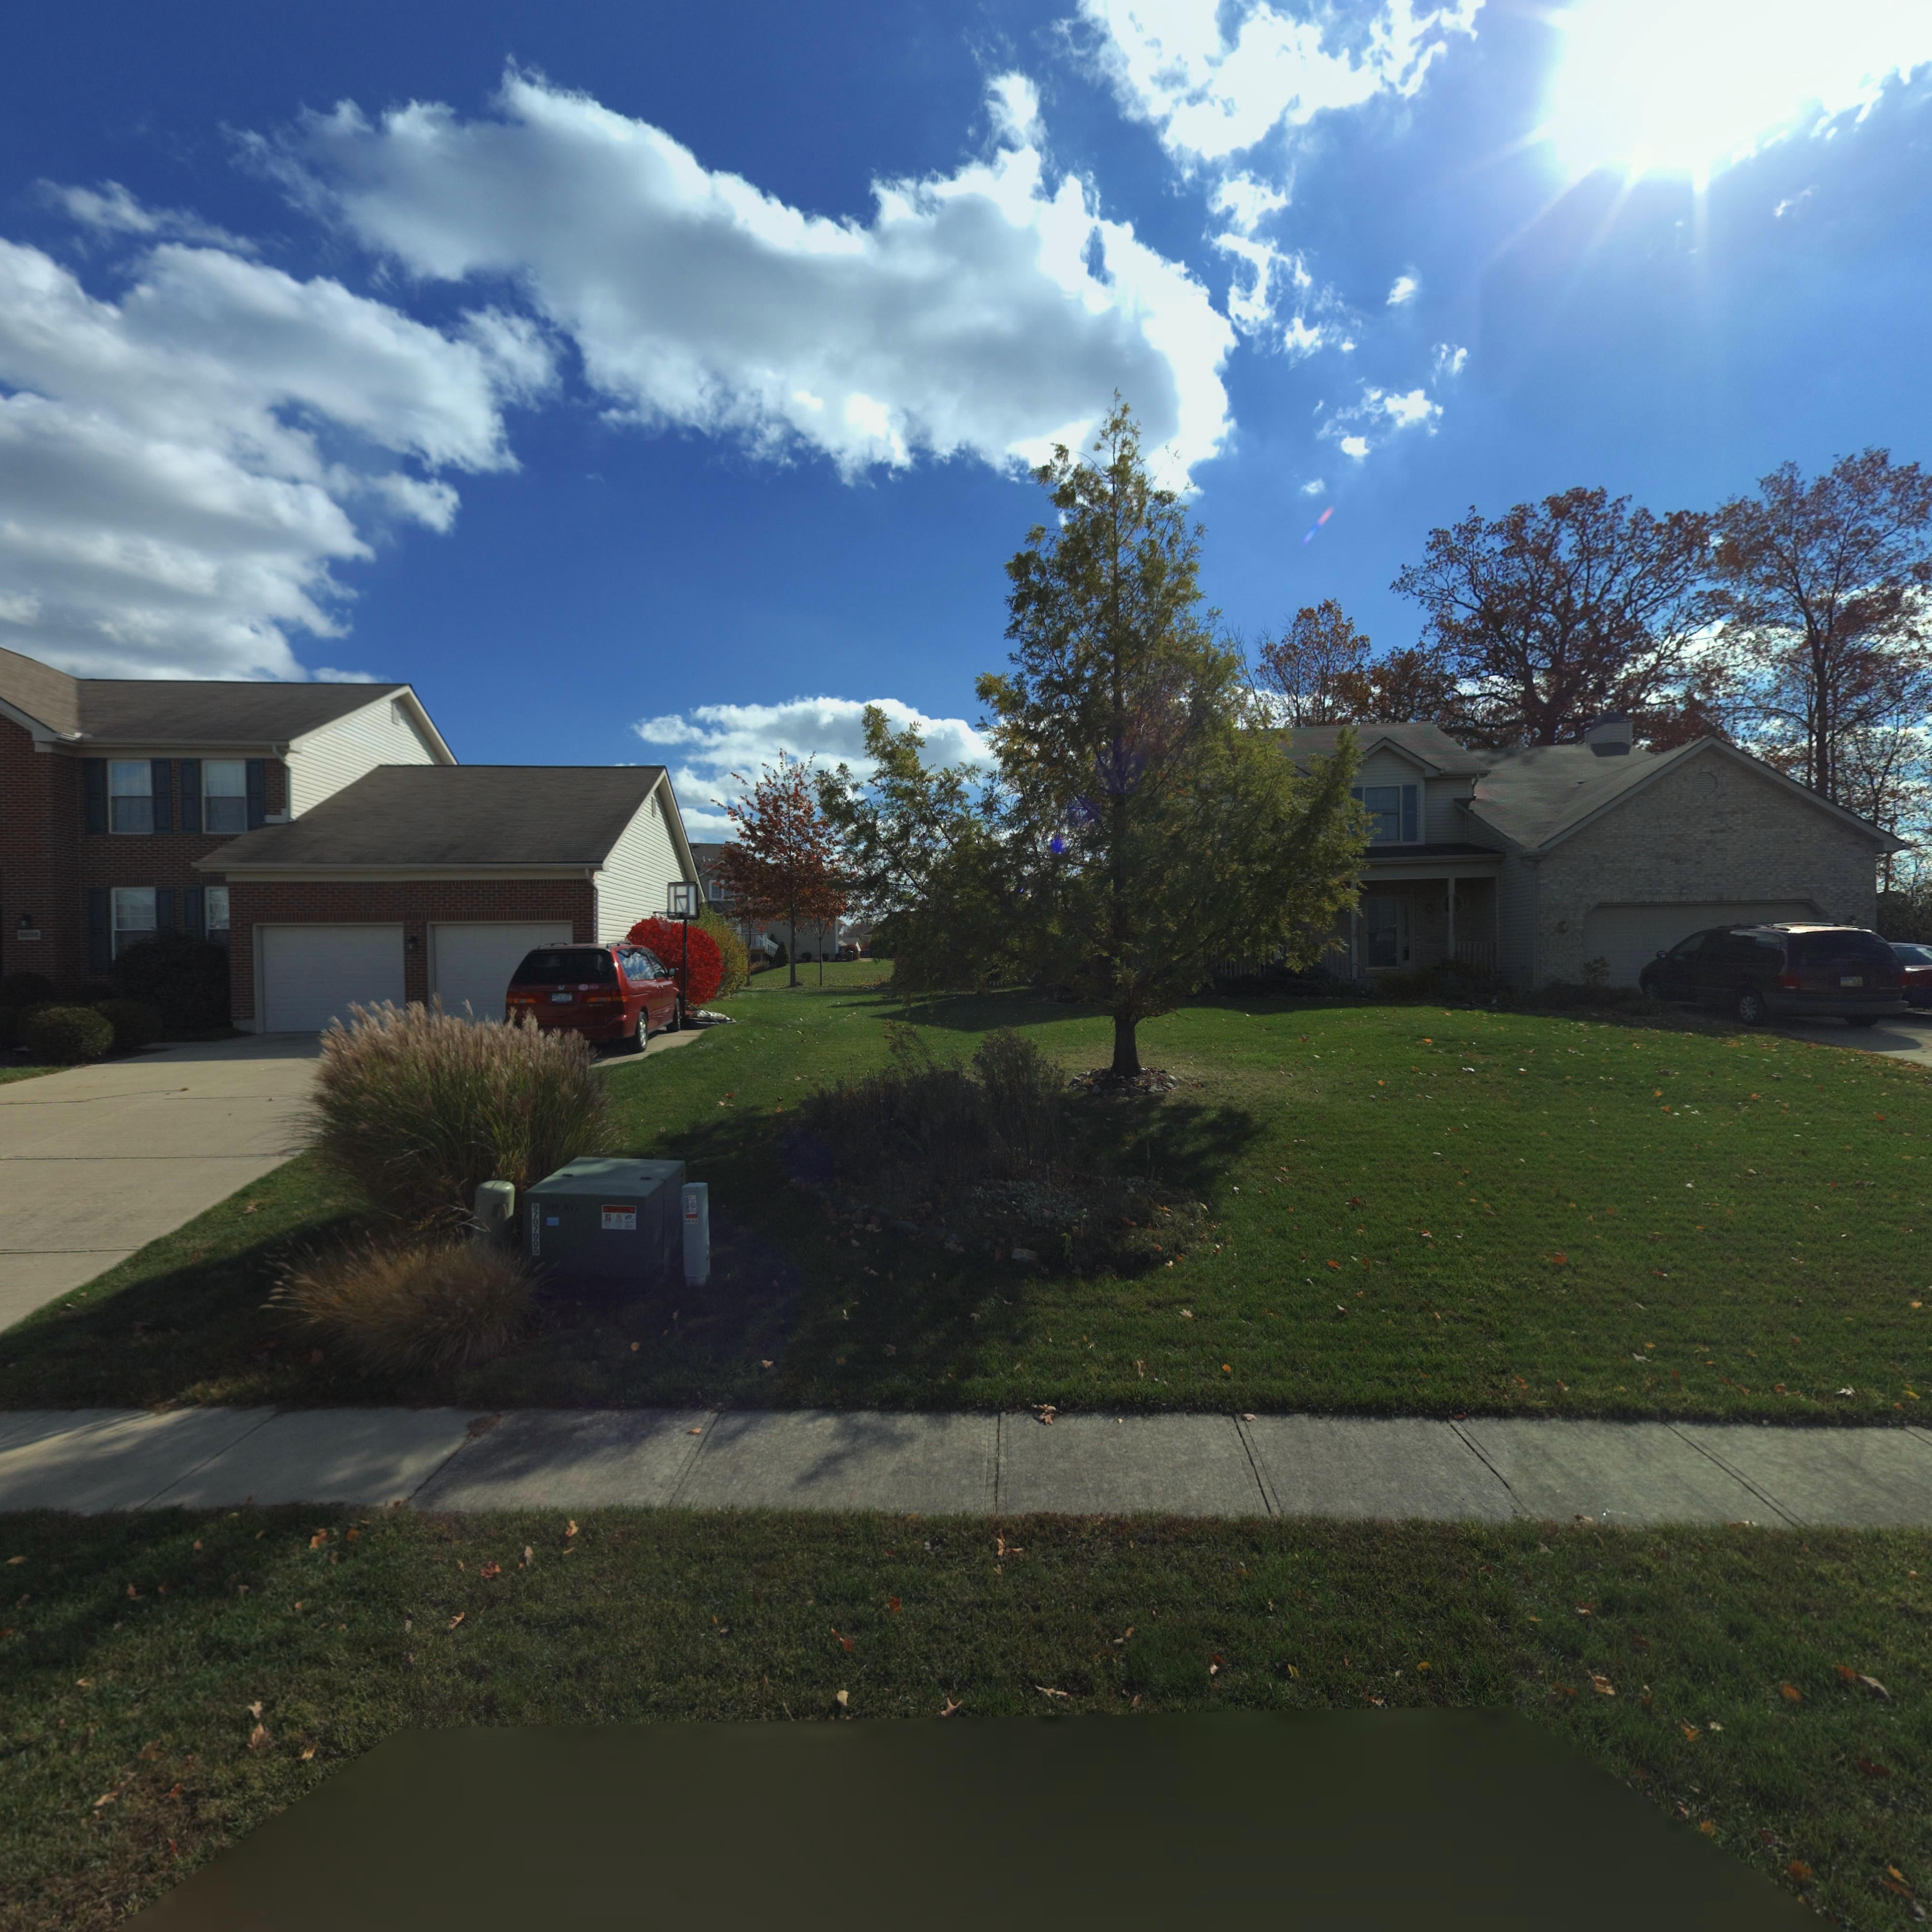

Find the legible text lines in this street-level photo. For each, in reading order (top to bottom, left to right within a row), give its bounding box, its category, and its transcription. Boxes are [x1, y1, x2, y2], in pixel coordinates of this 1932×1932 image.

[684, 1218, 698, 1224] StreetNumber: 6692